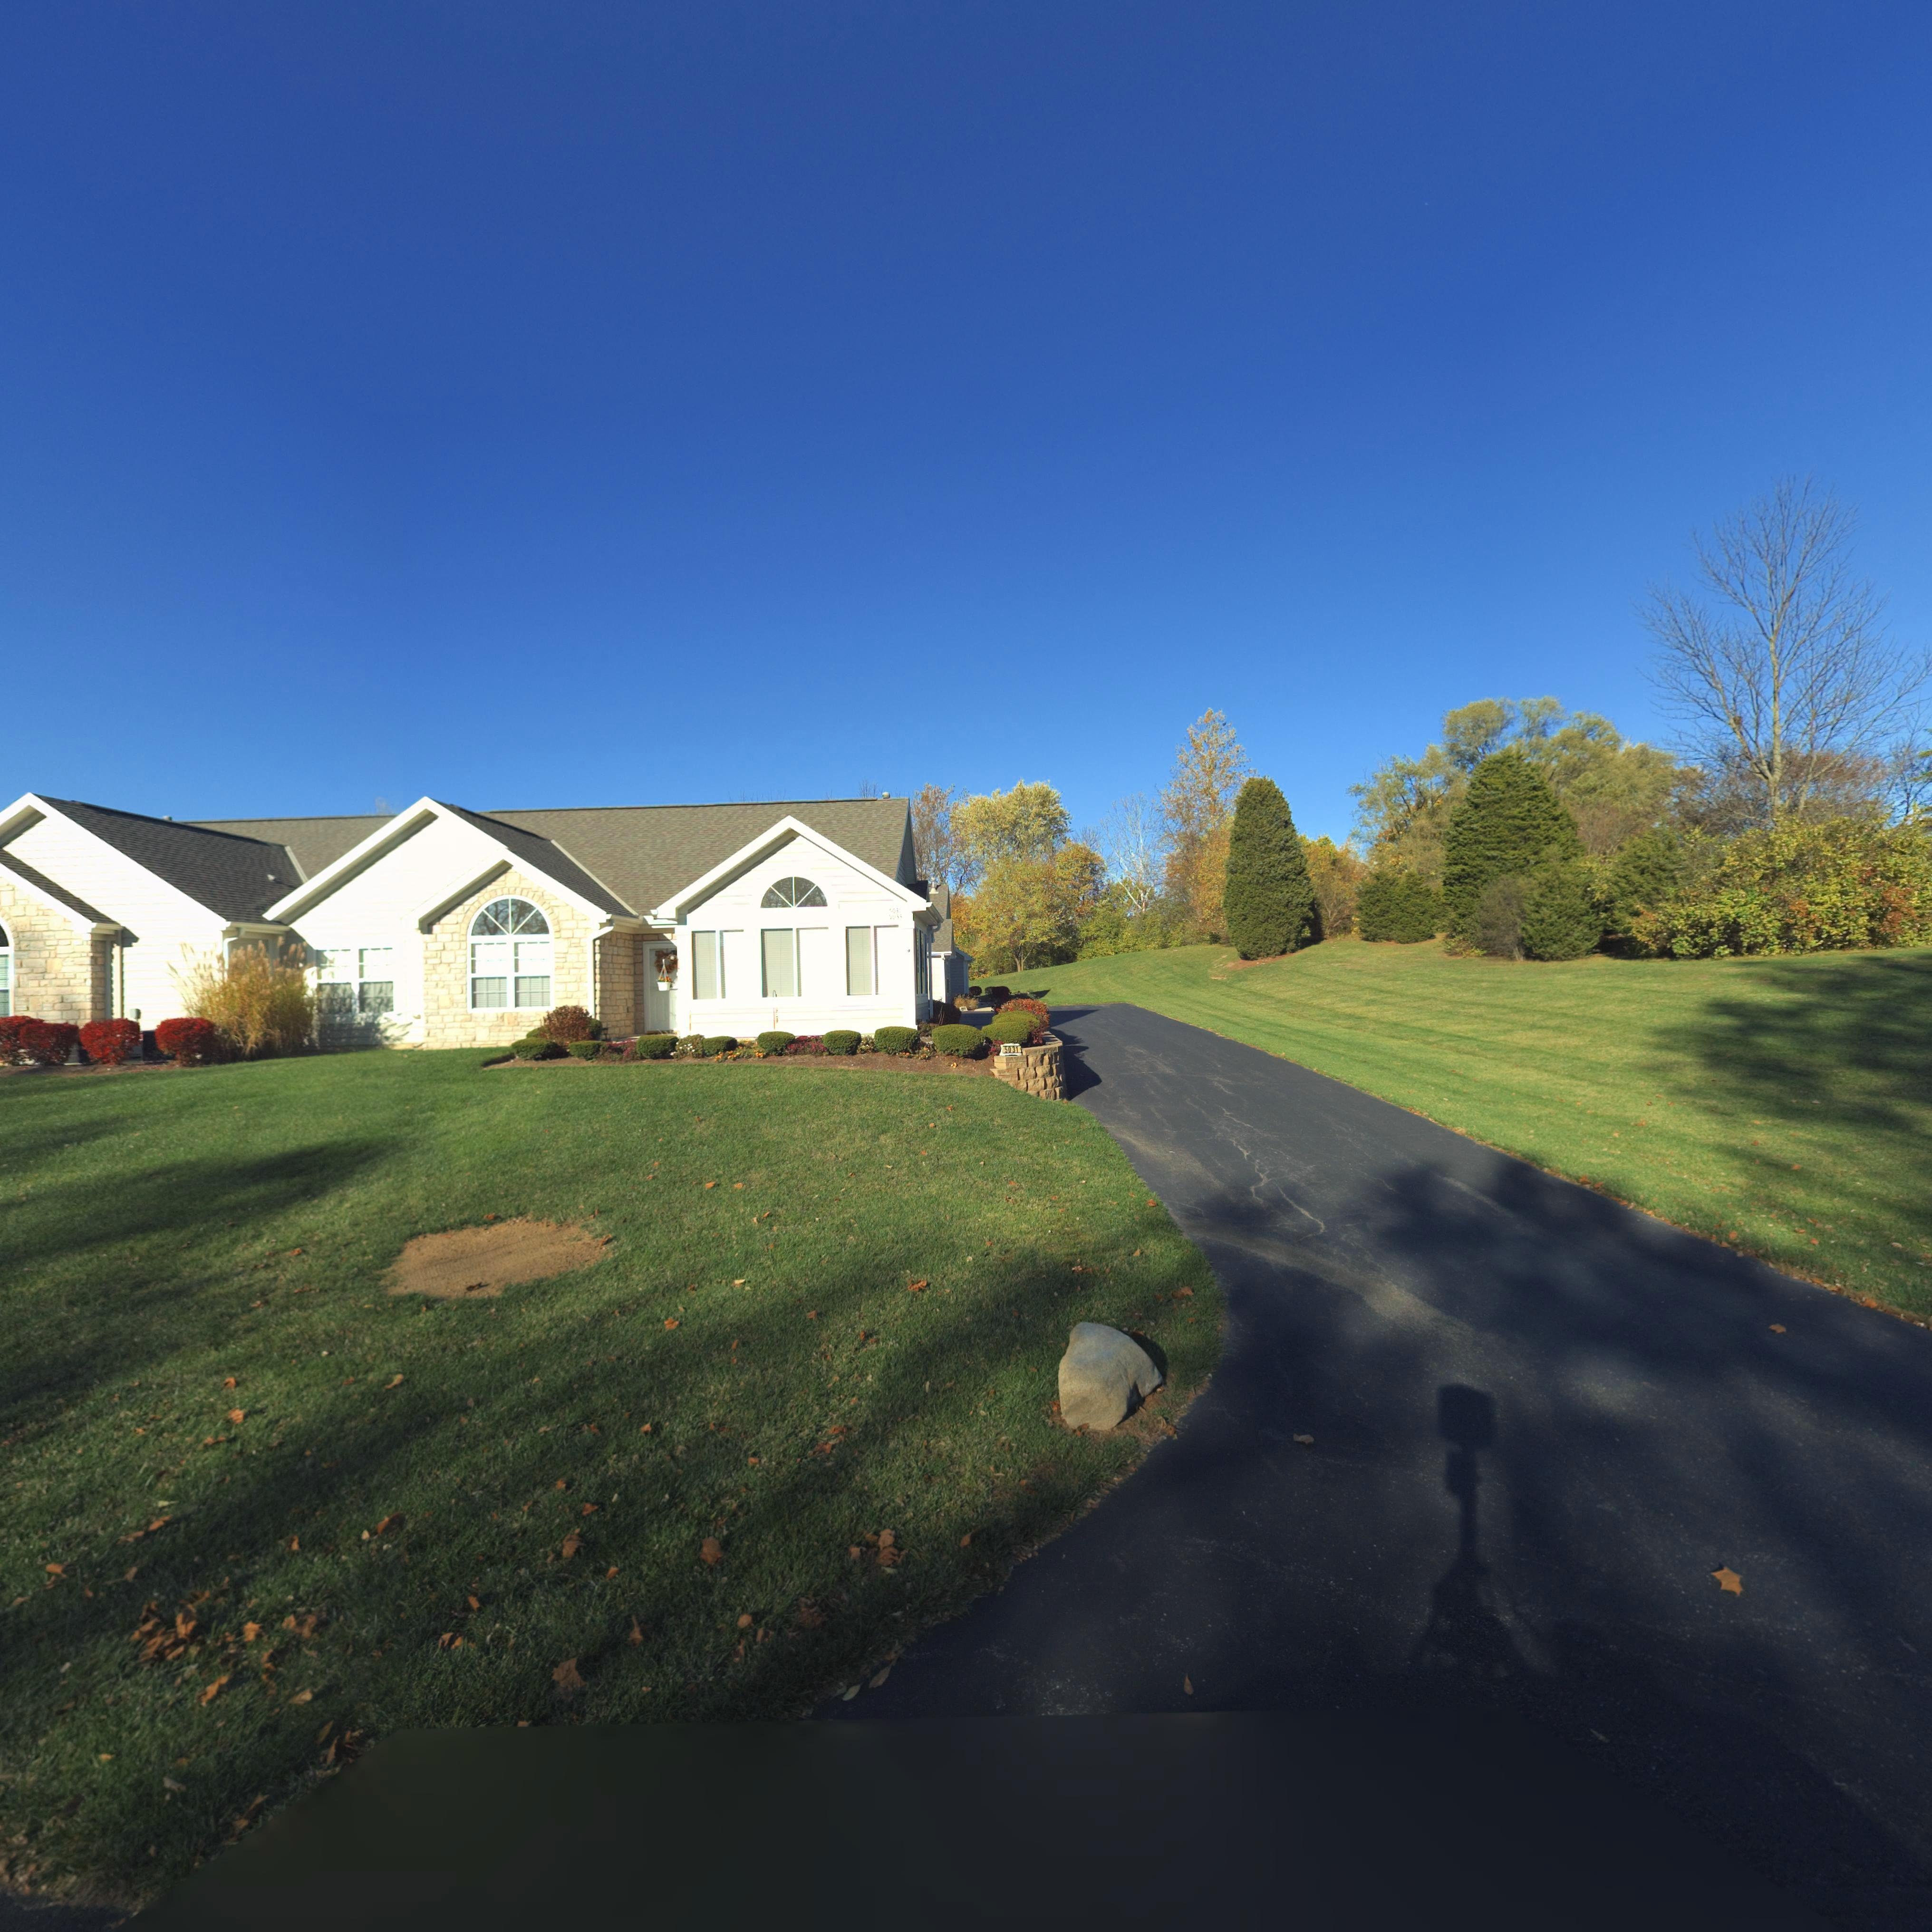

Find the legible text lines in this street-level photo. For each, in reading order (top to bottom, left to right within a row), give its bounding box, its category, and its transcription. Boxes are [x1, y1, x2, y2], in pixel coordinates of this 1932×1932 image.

[1004, 1045, 1019, 1053] StreetNumber: 5031